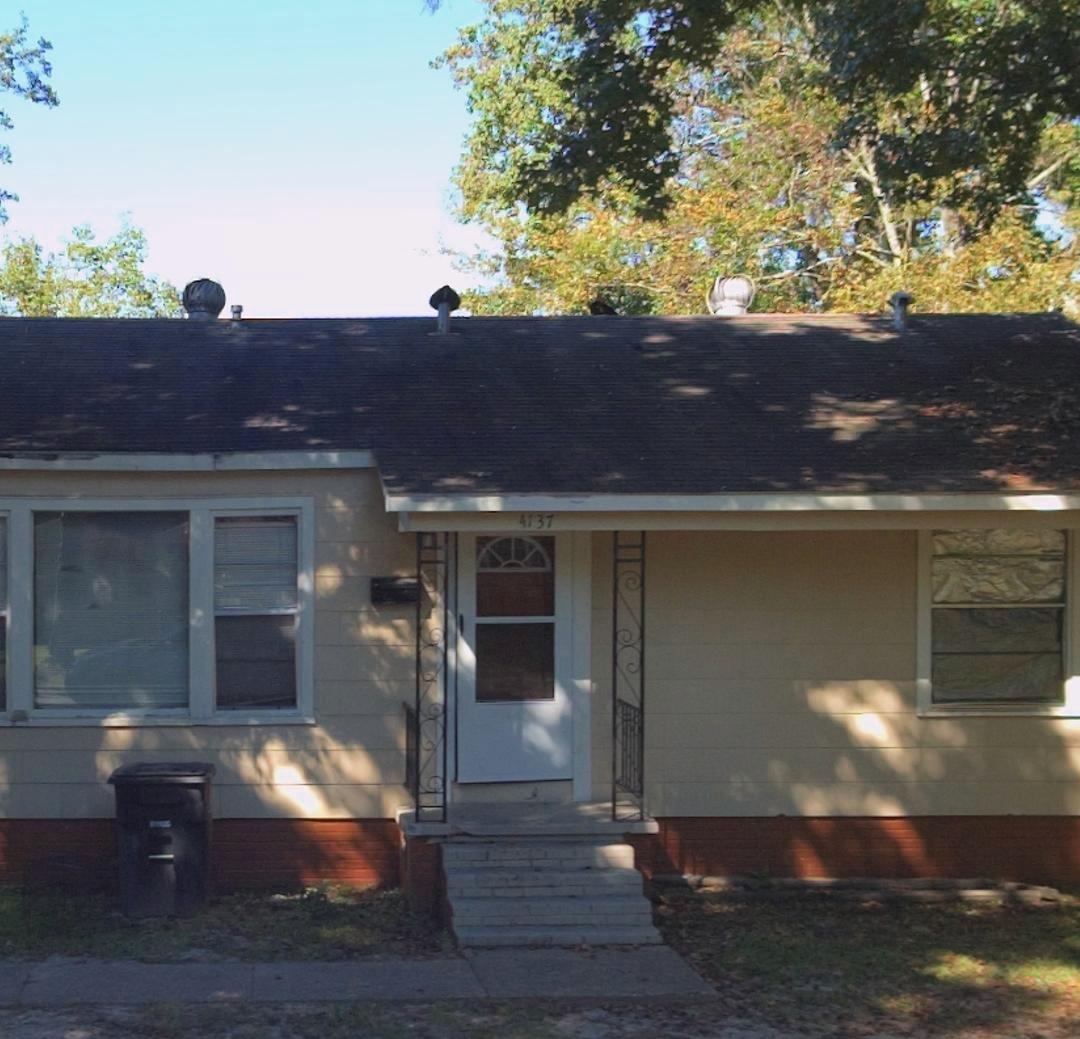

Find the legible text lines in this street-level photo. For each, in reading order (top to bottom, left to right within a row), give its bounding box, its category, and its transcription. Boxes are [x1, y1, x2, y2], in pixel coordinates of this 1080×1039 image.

[517, 512, 557, 530] StreetNumber: 4137